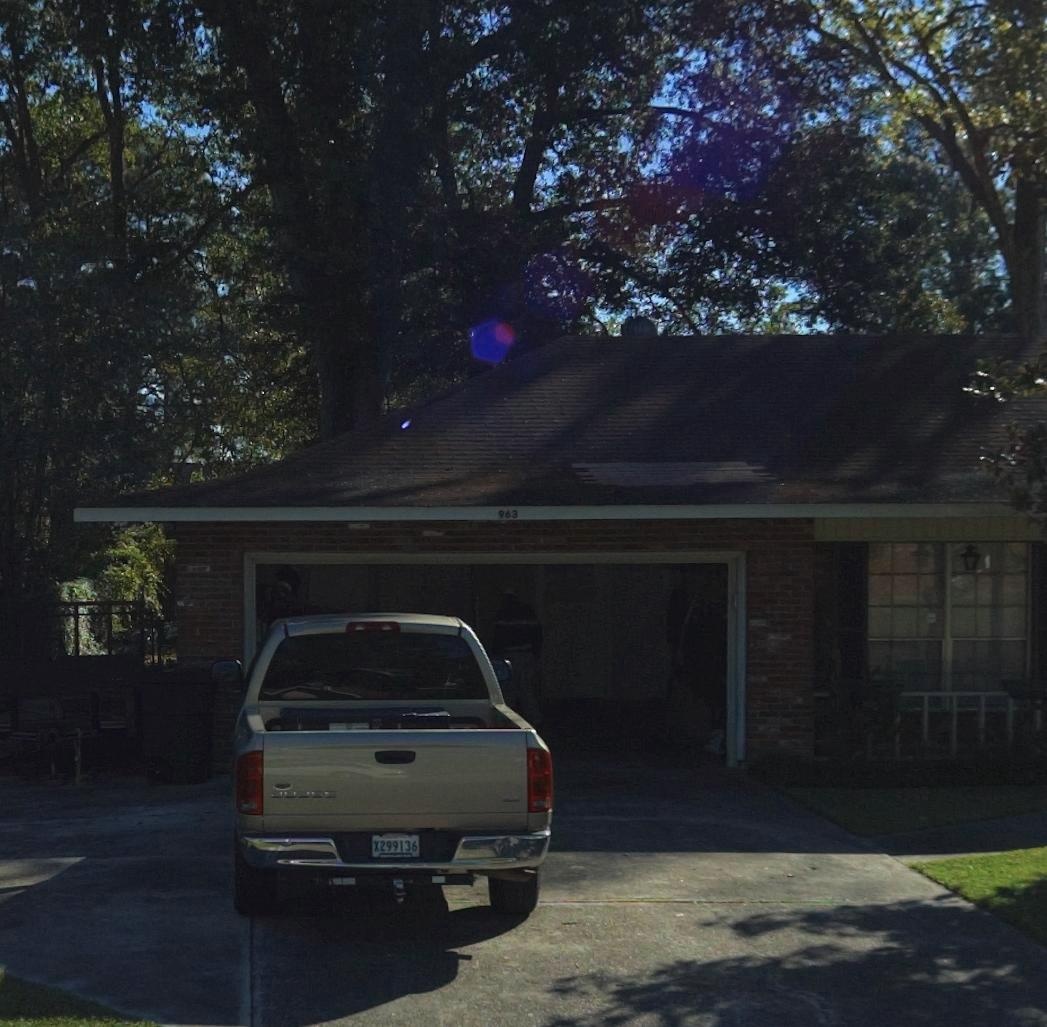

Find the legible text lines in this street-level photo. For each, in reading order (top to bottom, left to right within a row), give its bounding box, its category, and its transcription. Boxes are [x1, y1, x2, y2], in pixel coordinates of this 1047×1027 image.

[496, 508, 520, 520] StreetNumber: 963
[371, 838, 420, 854] None: X299136